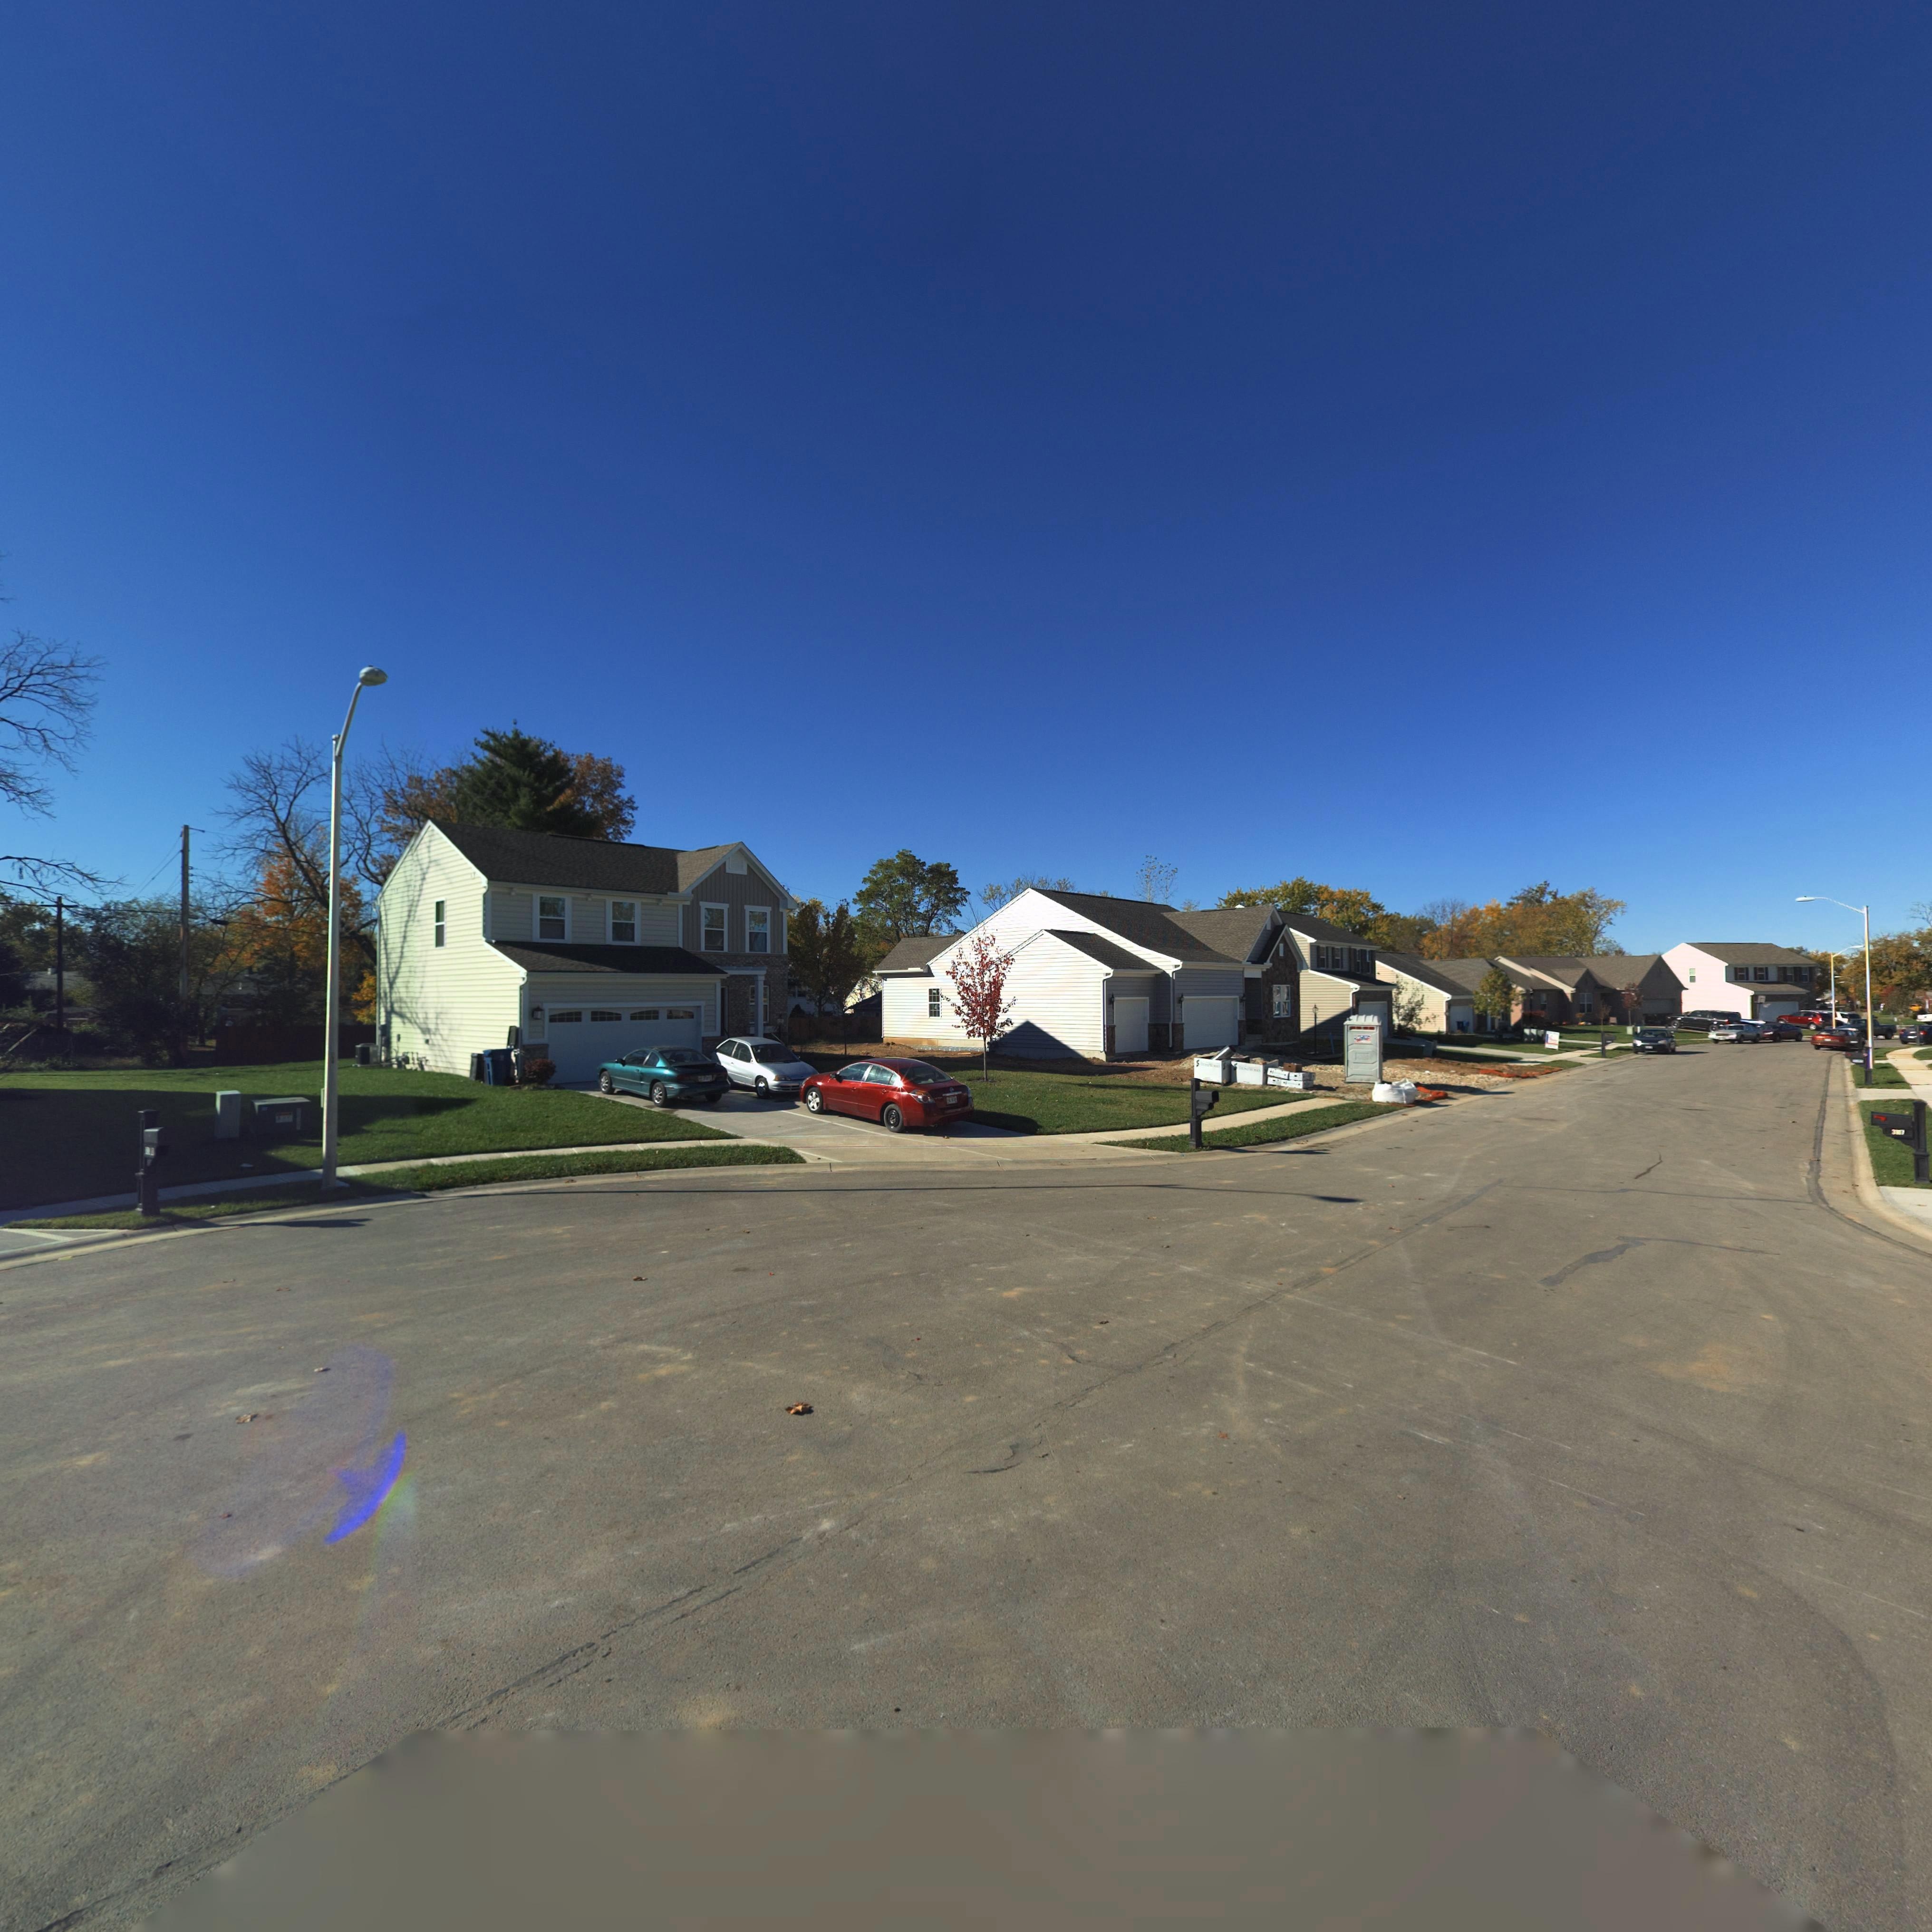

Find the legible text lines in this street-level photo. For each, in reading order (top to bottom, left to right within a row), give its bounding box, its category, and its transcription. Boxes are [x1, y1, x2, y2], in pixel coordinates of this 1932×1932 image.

[1891, 1129, 1905, 1136] StreetNumber: 3***
[143, 1146, 155, 1155] StreetNumber: ***8